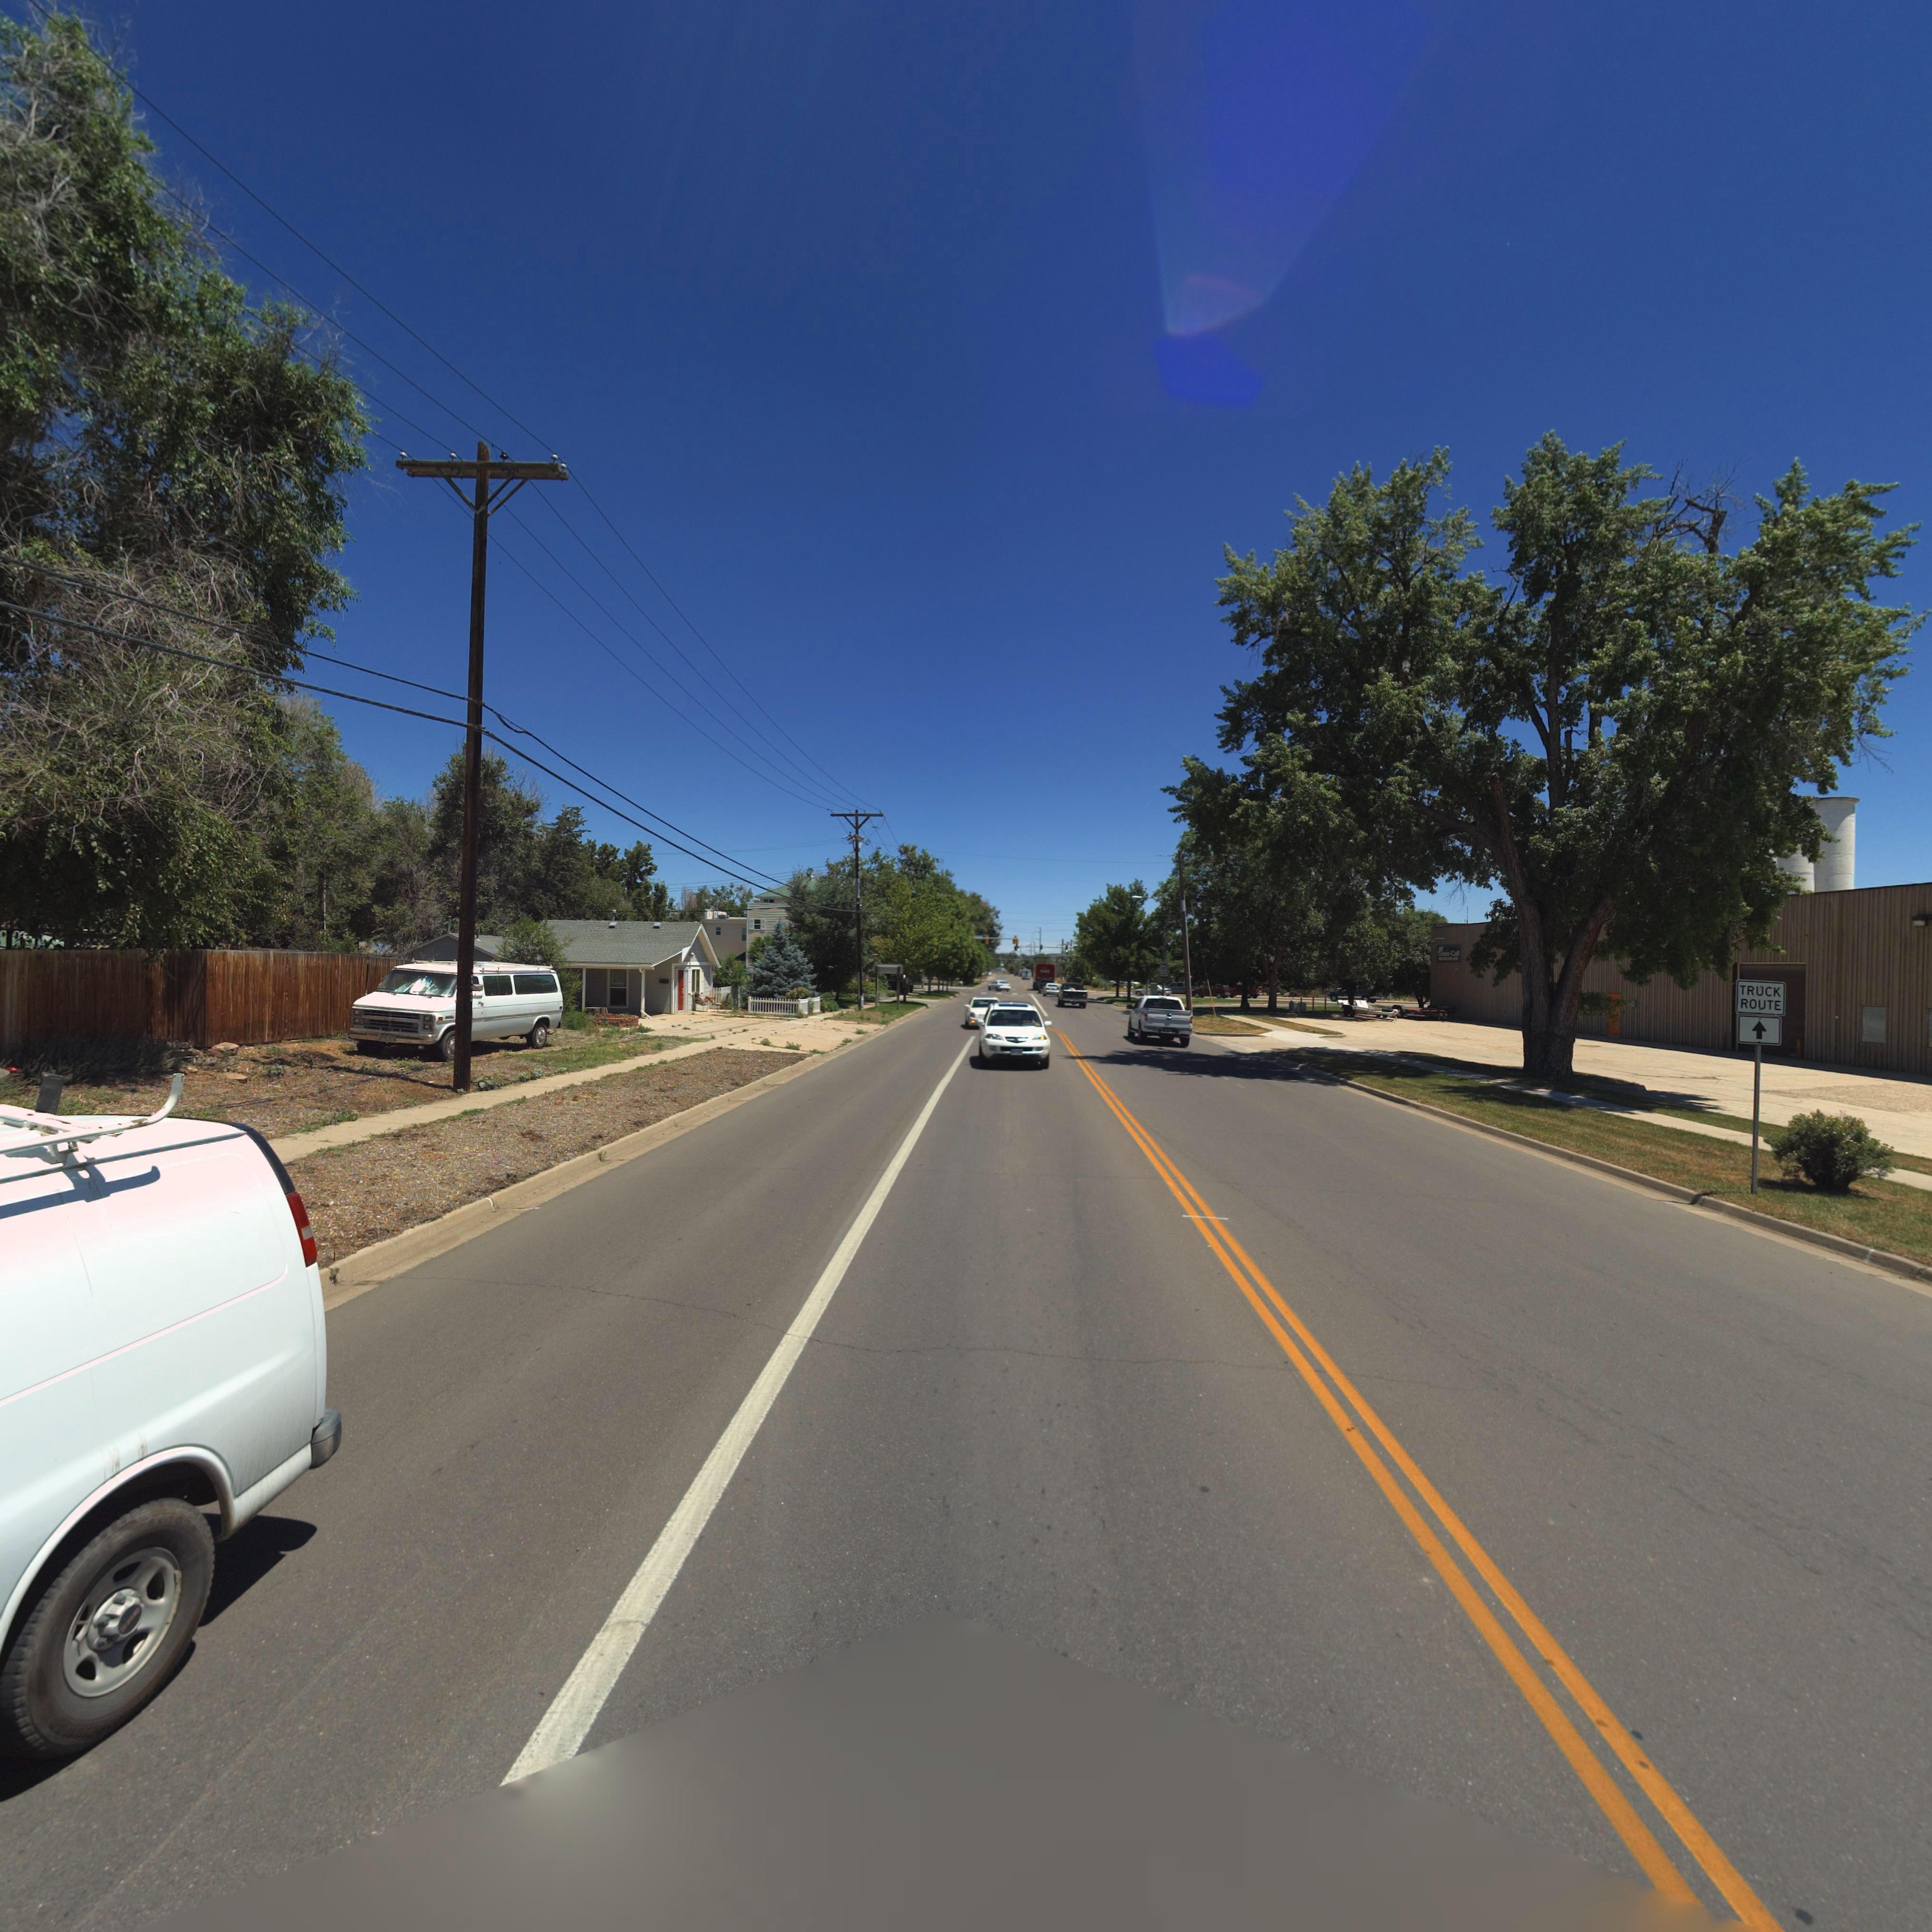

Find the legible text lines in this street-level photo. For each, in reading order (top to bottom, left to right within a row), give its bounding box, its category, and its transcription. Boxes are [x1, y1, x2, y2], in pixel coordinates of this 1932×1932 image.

[1437, 950, 1459, 956] BusinessName: Times-Call
[1438, 956, 1459, 961] BusinessName: WAREHOUSE